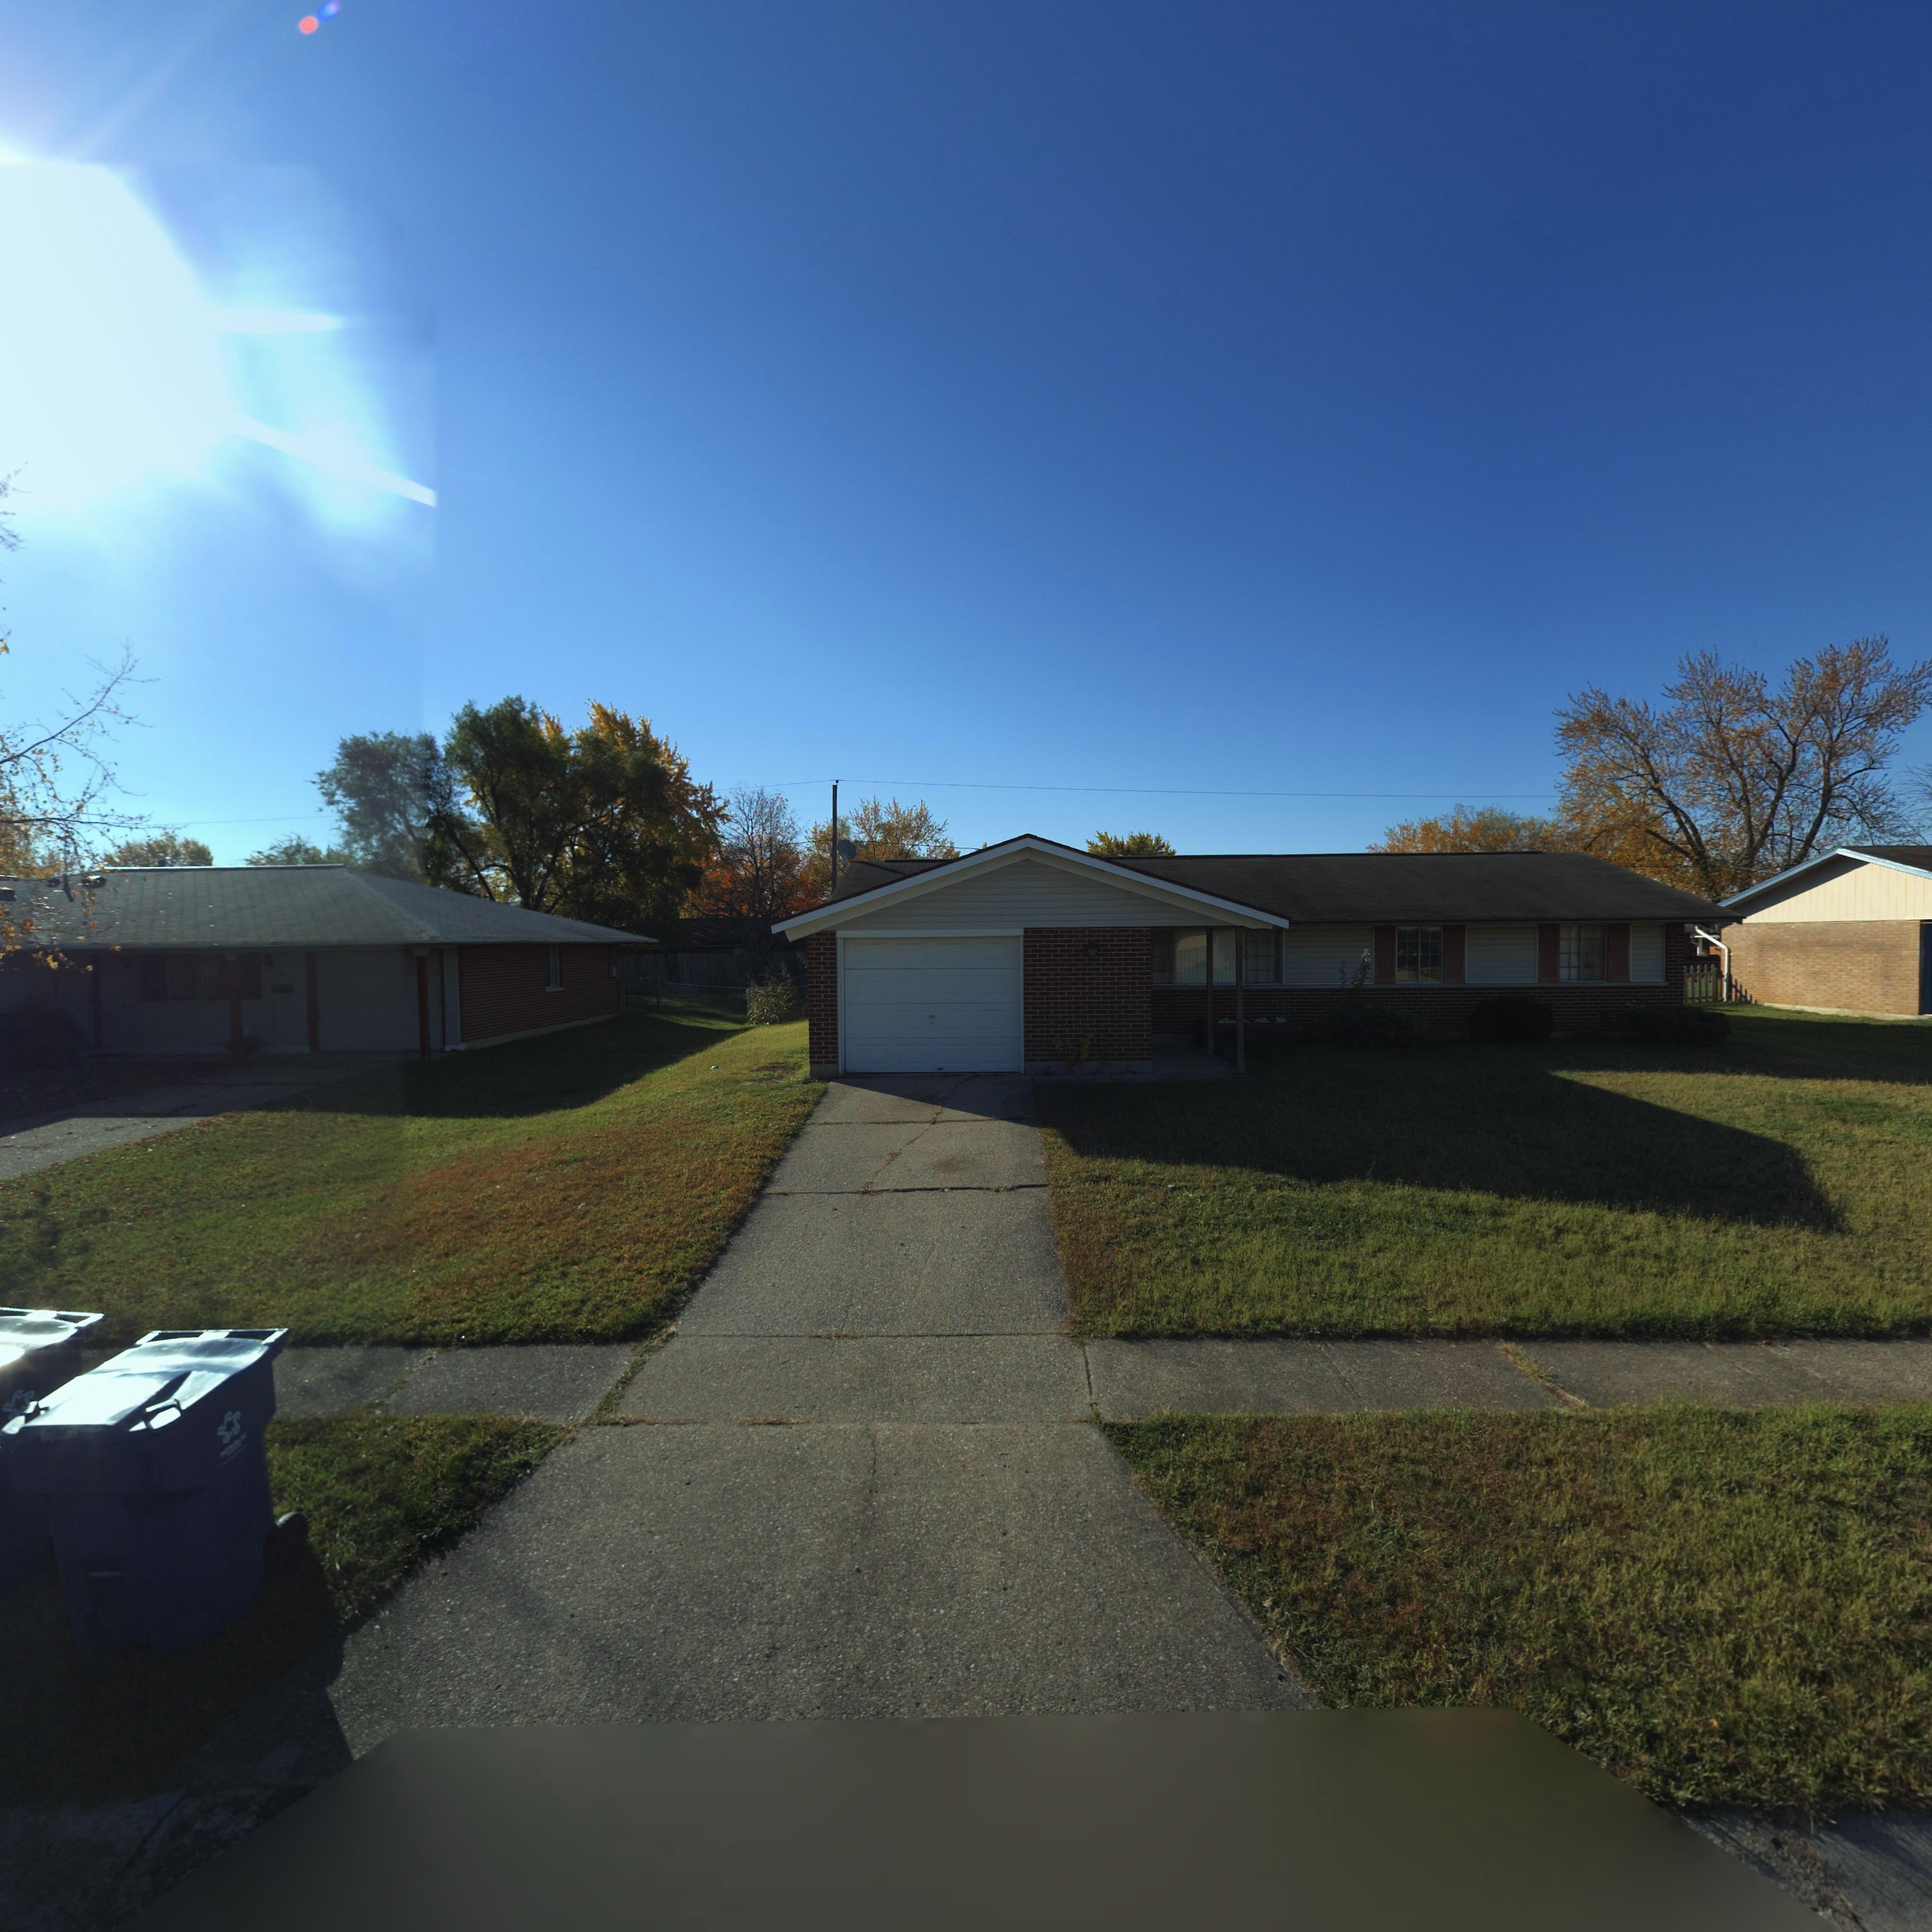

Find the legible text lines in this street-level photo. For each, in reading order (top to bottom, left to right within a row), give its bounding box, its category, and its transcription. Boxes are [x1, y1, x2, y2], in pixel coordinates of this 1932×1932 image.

[1236, 949, 1243, 980] StreetNumber: 7942